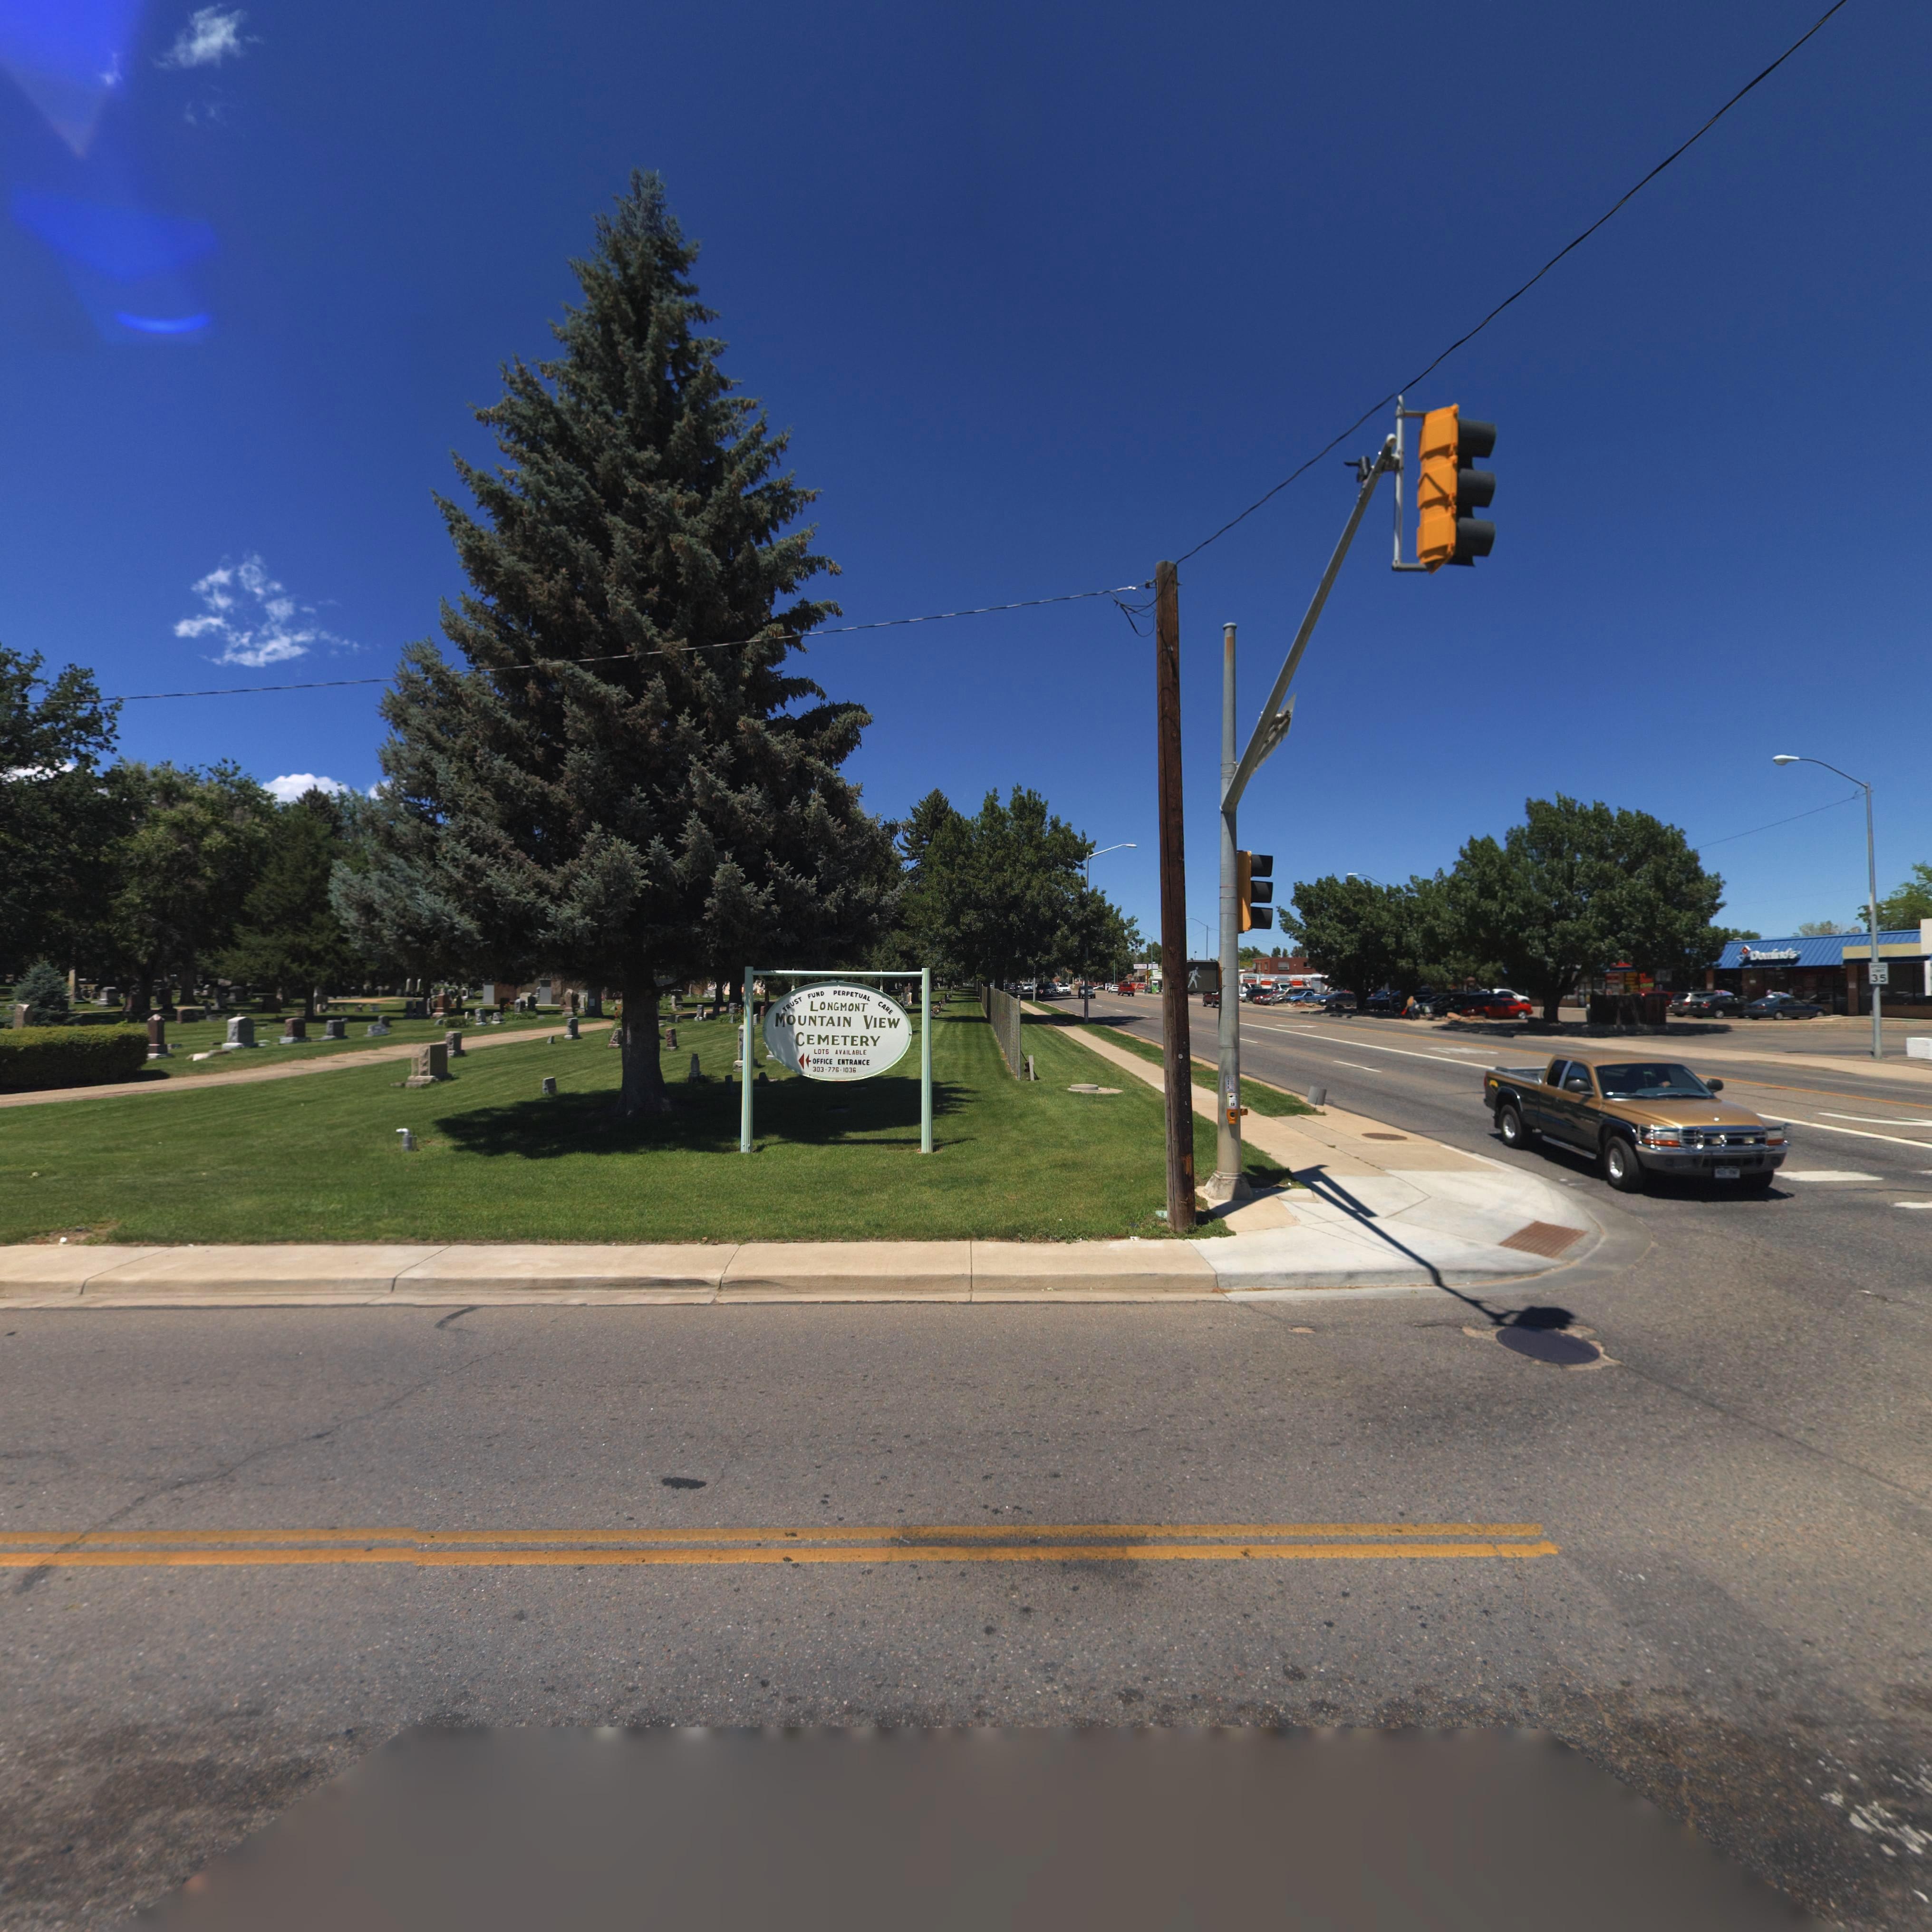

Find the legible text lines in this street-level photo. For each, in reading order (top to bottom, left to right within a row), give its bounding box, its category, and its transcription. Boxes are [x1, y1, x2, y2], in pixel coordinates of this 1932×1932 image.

[1749, 947, 1797, 960] BusinessName: Domino's
[1135, 985, 1144, 990] BusinessName: Zon*
[1136, 983, 1146, 986] BusinessName: Auto
[809, 1000, 869, 1012] BusinessName: LONGMONT
[774, 1012, 900, 1030] BusinessName: MOUNTAIN VIEW
[795, 1031, 880, 1047] BusinessName: CEMETERY